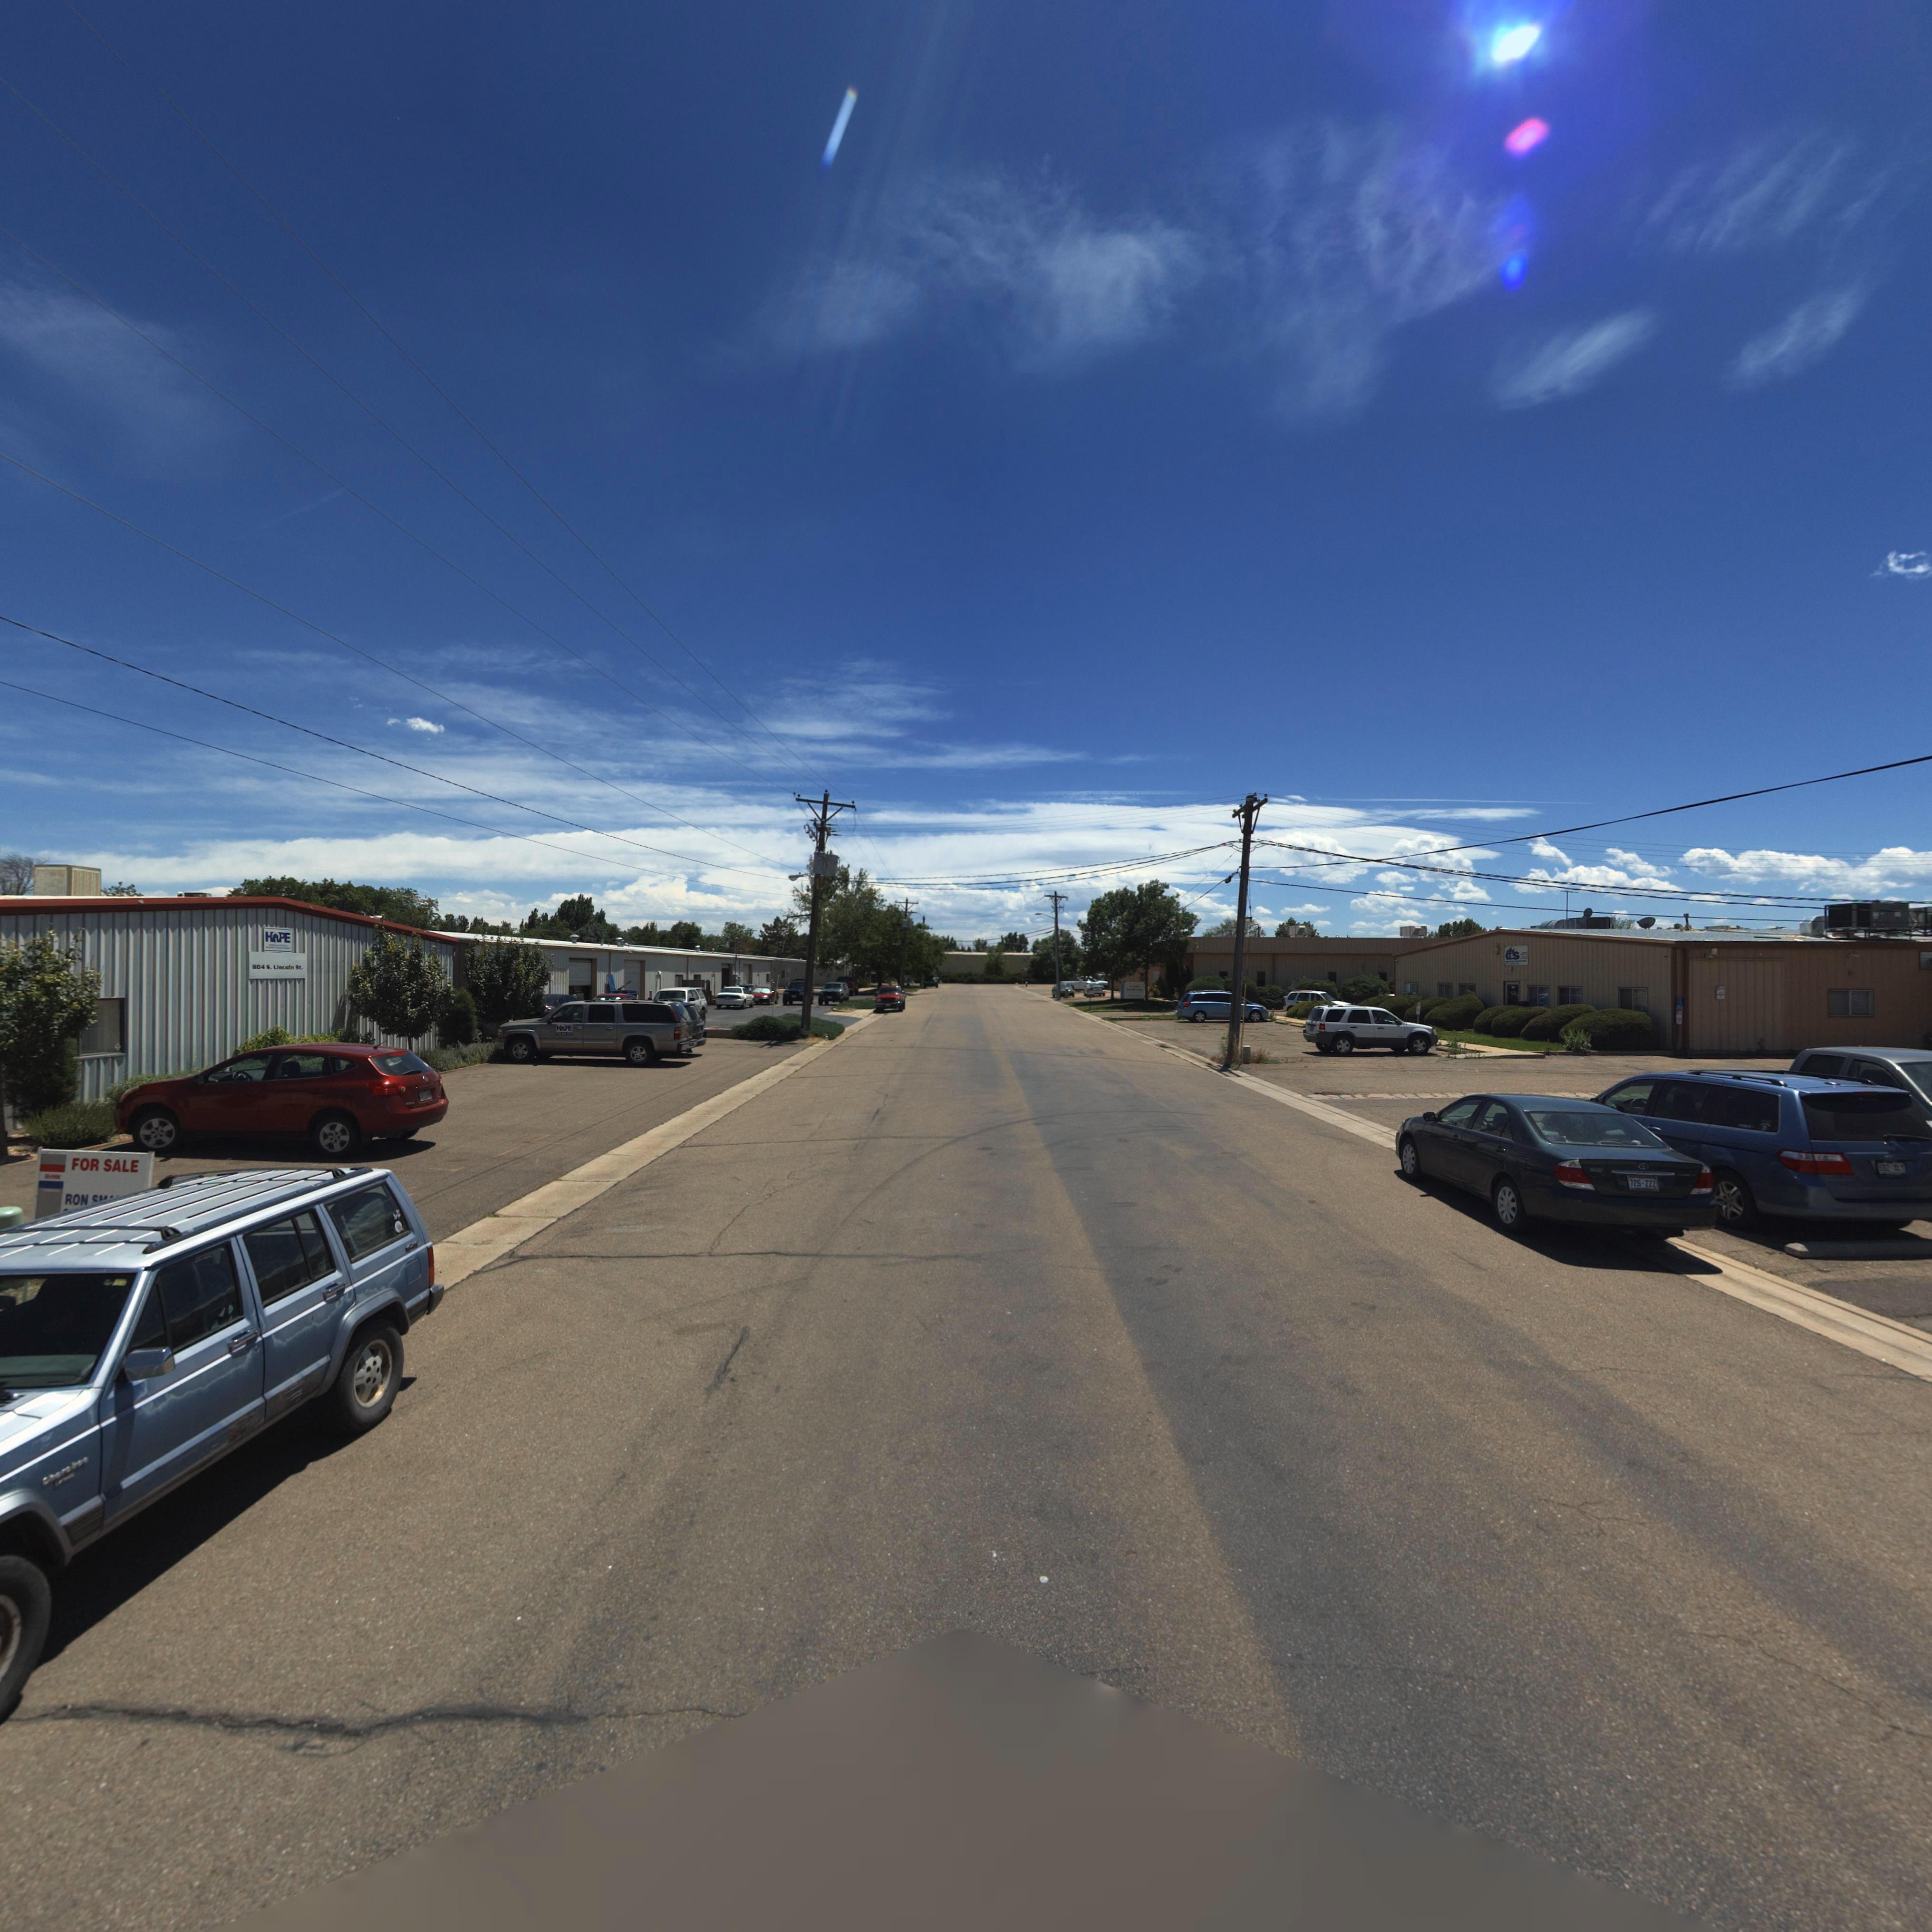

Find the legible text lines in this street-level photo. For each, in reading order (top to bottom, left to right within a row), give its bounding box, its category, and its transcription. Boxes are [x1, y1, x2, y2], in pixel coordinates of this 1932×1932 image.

[1505, 951, 1519, 960] BusinessName: G&S